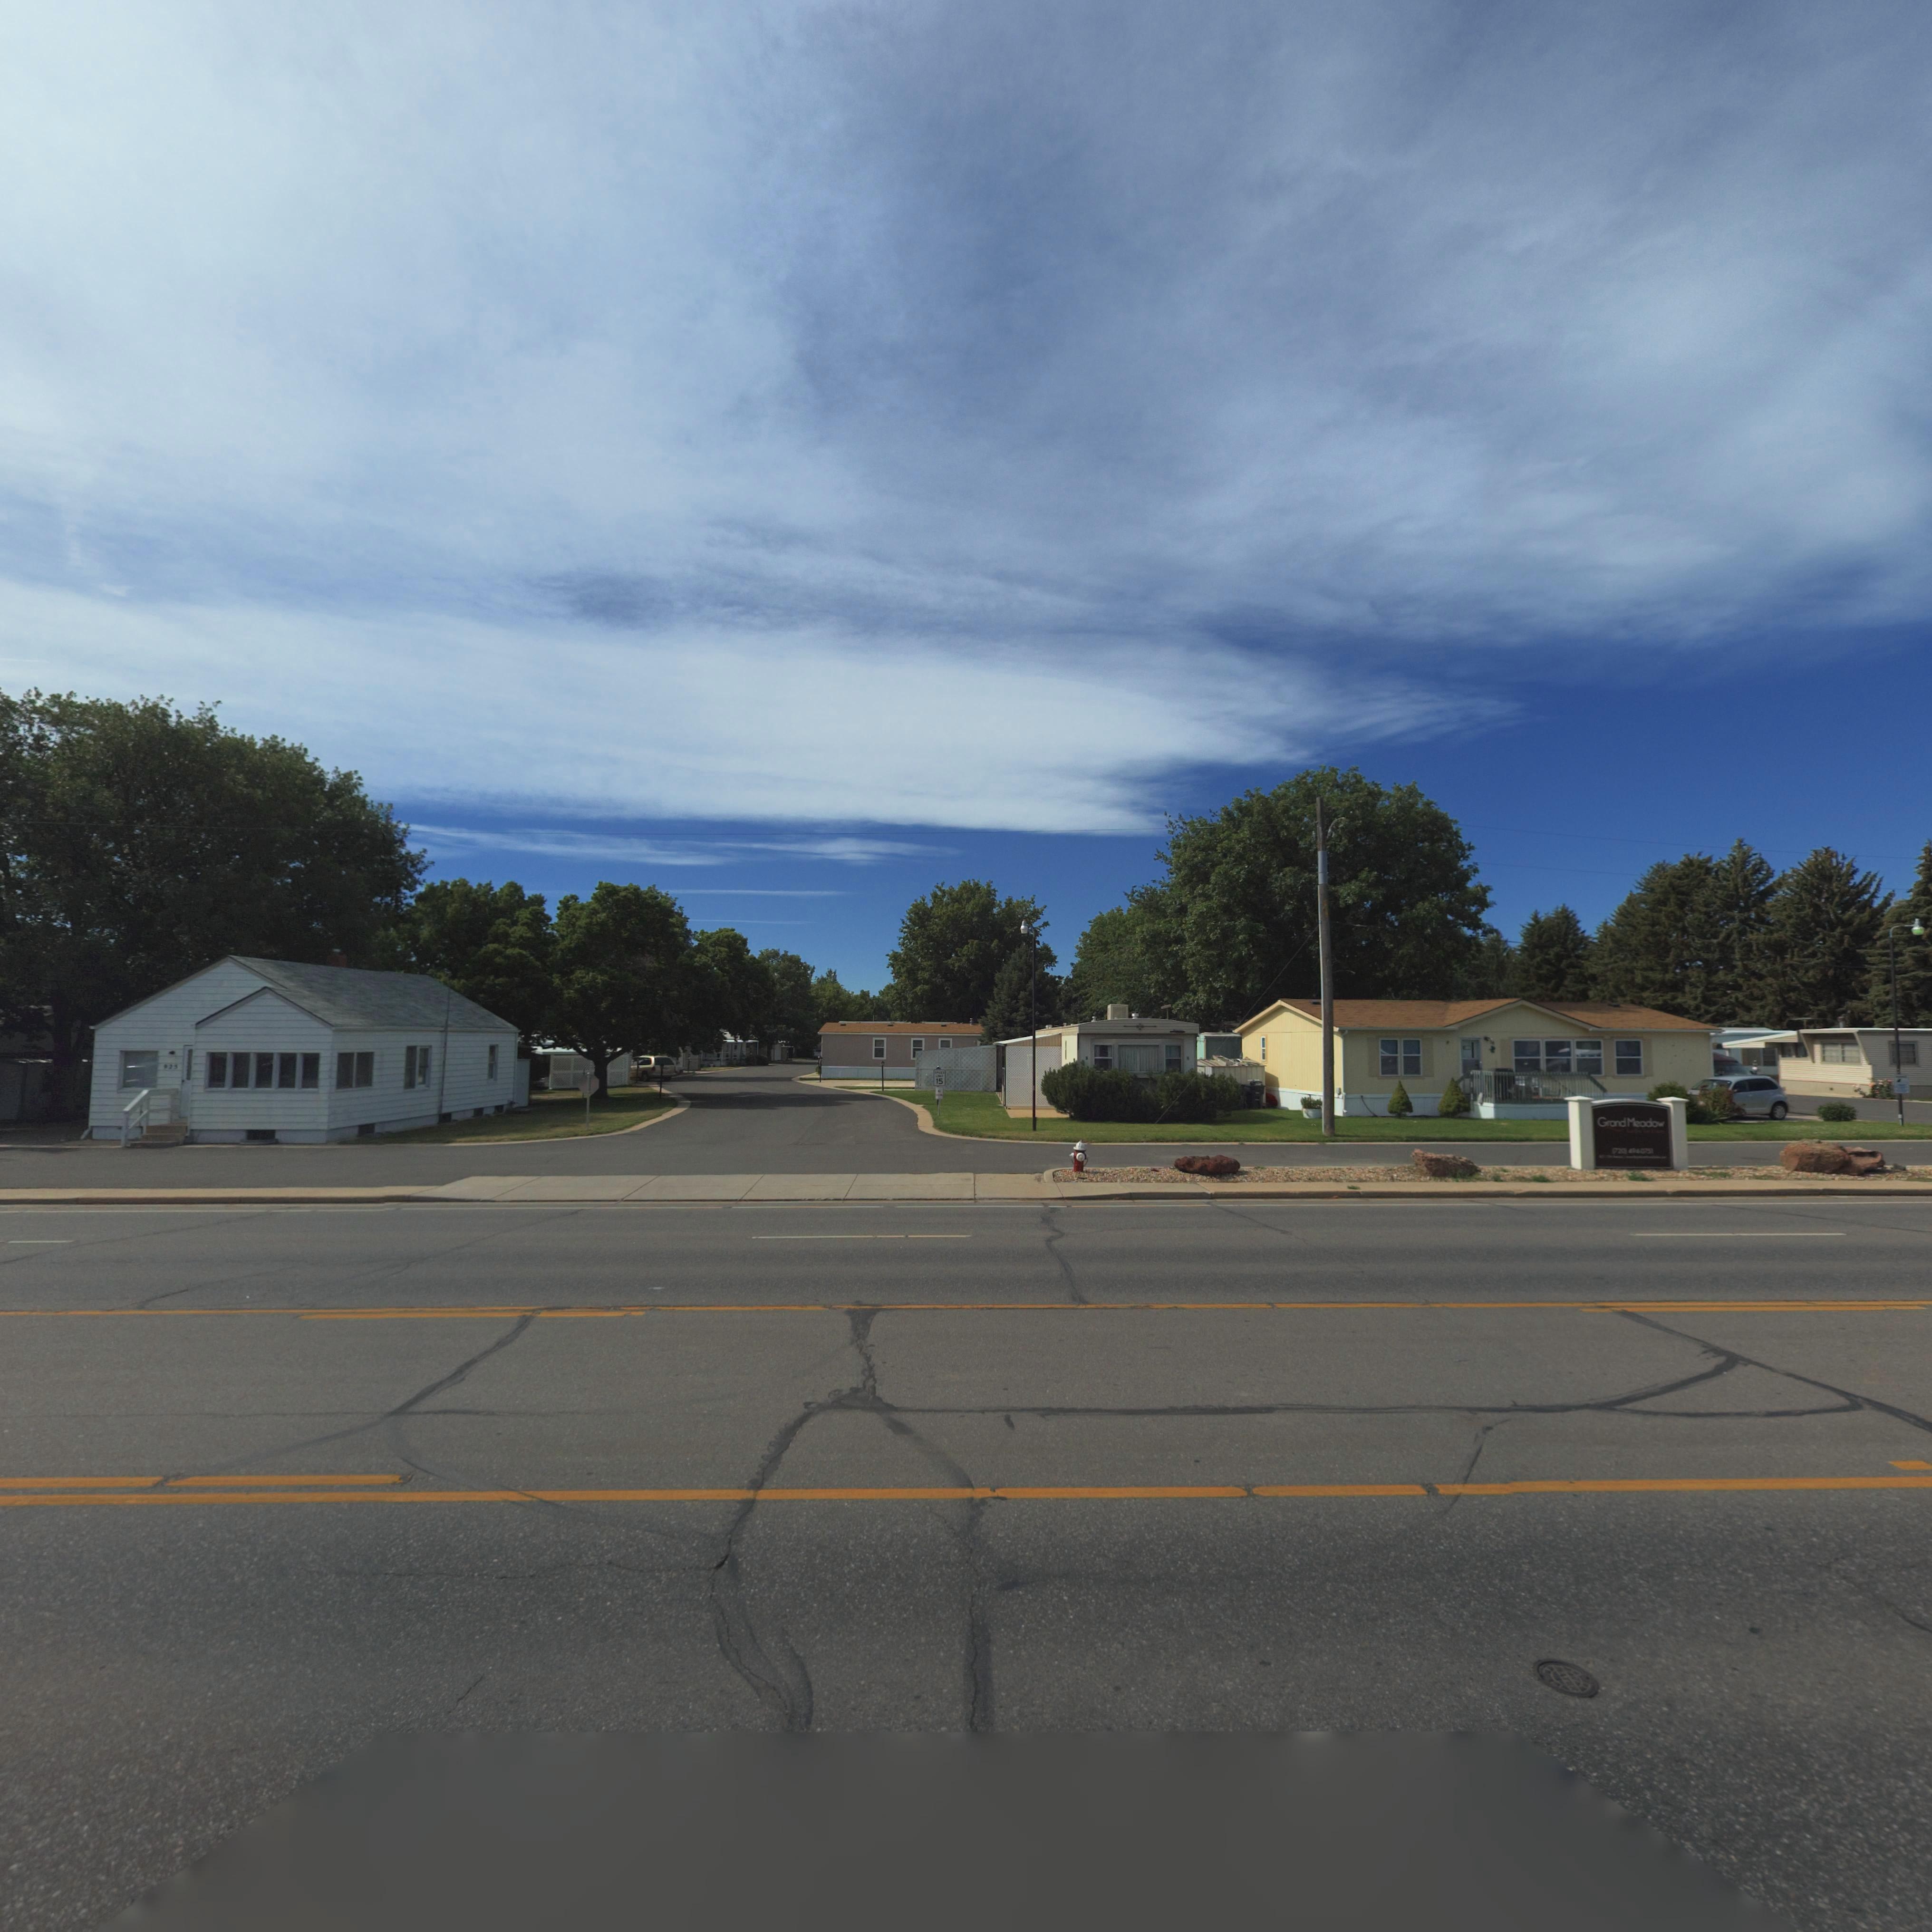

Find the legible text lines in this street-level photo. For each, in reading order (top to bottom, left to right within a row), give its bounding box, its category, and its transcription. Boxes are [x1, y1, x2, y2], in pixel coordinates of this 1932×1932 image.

[163, 1063, 178, 1070] StreetNumber: 925